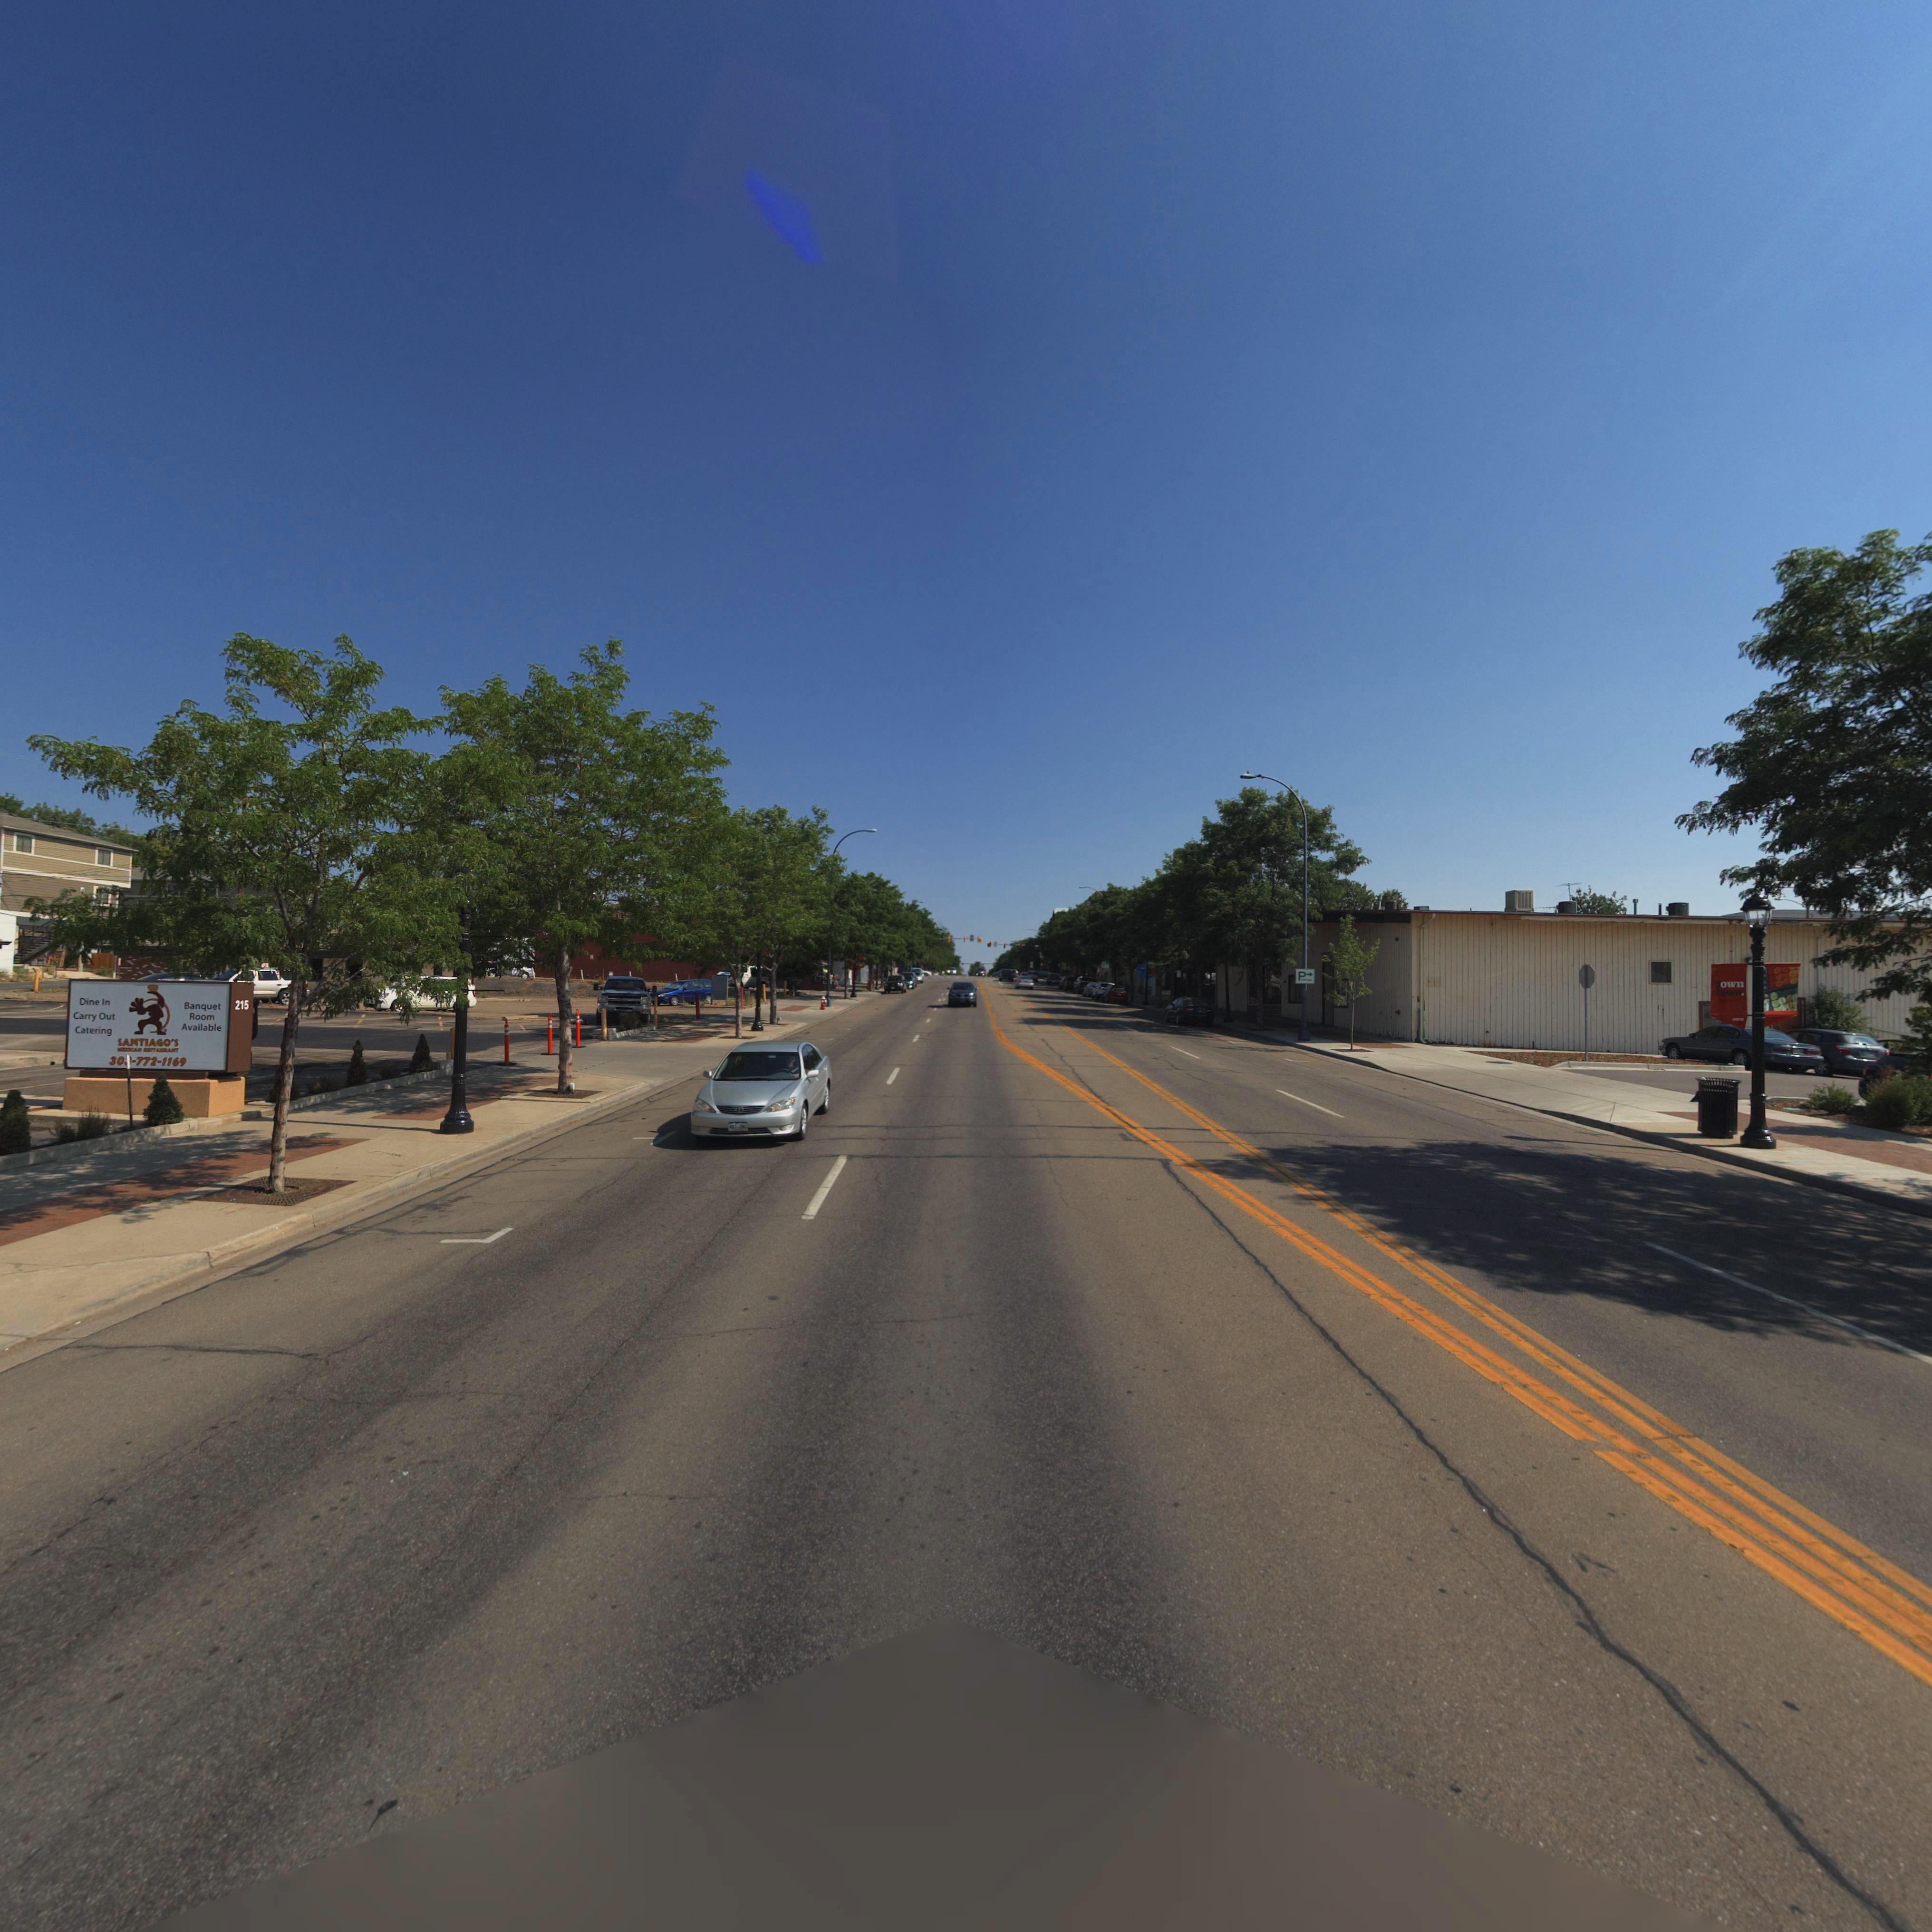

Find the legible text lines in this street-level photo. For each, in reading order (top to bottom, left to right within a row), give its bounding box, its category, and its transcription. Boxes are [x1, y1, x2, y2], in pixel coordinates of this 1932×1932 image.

[234, 999, 249, 1010] StreetNumber: 215
[117, 1038, 179, 1047] BusinessName: SANTIAGO'S